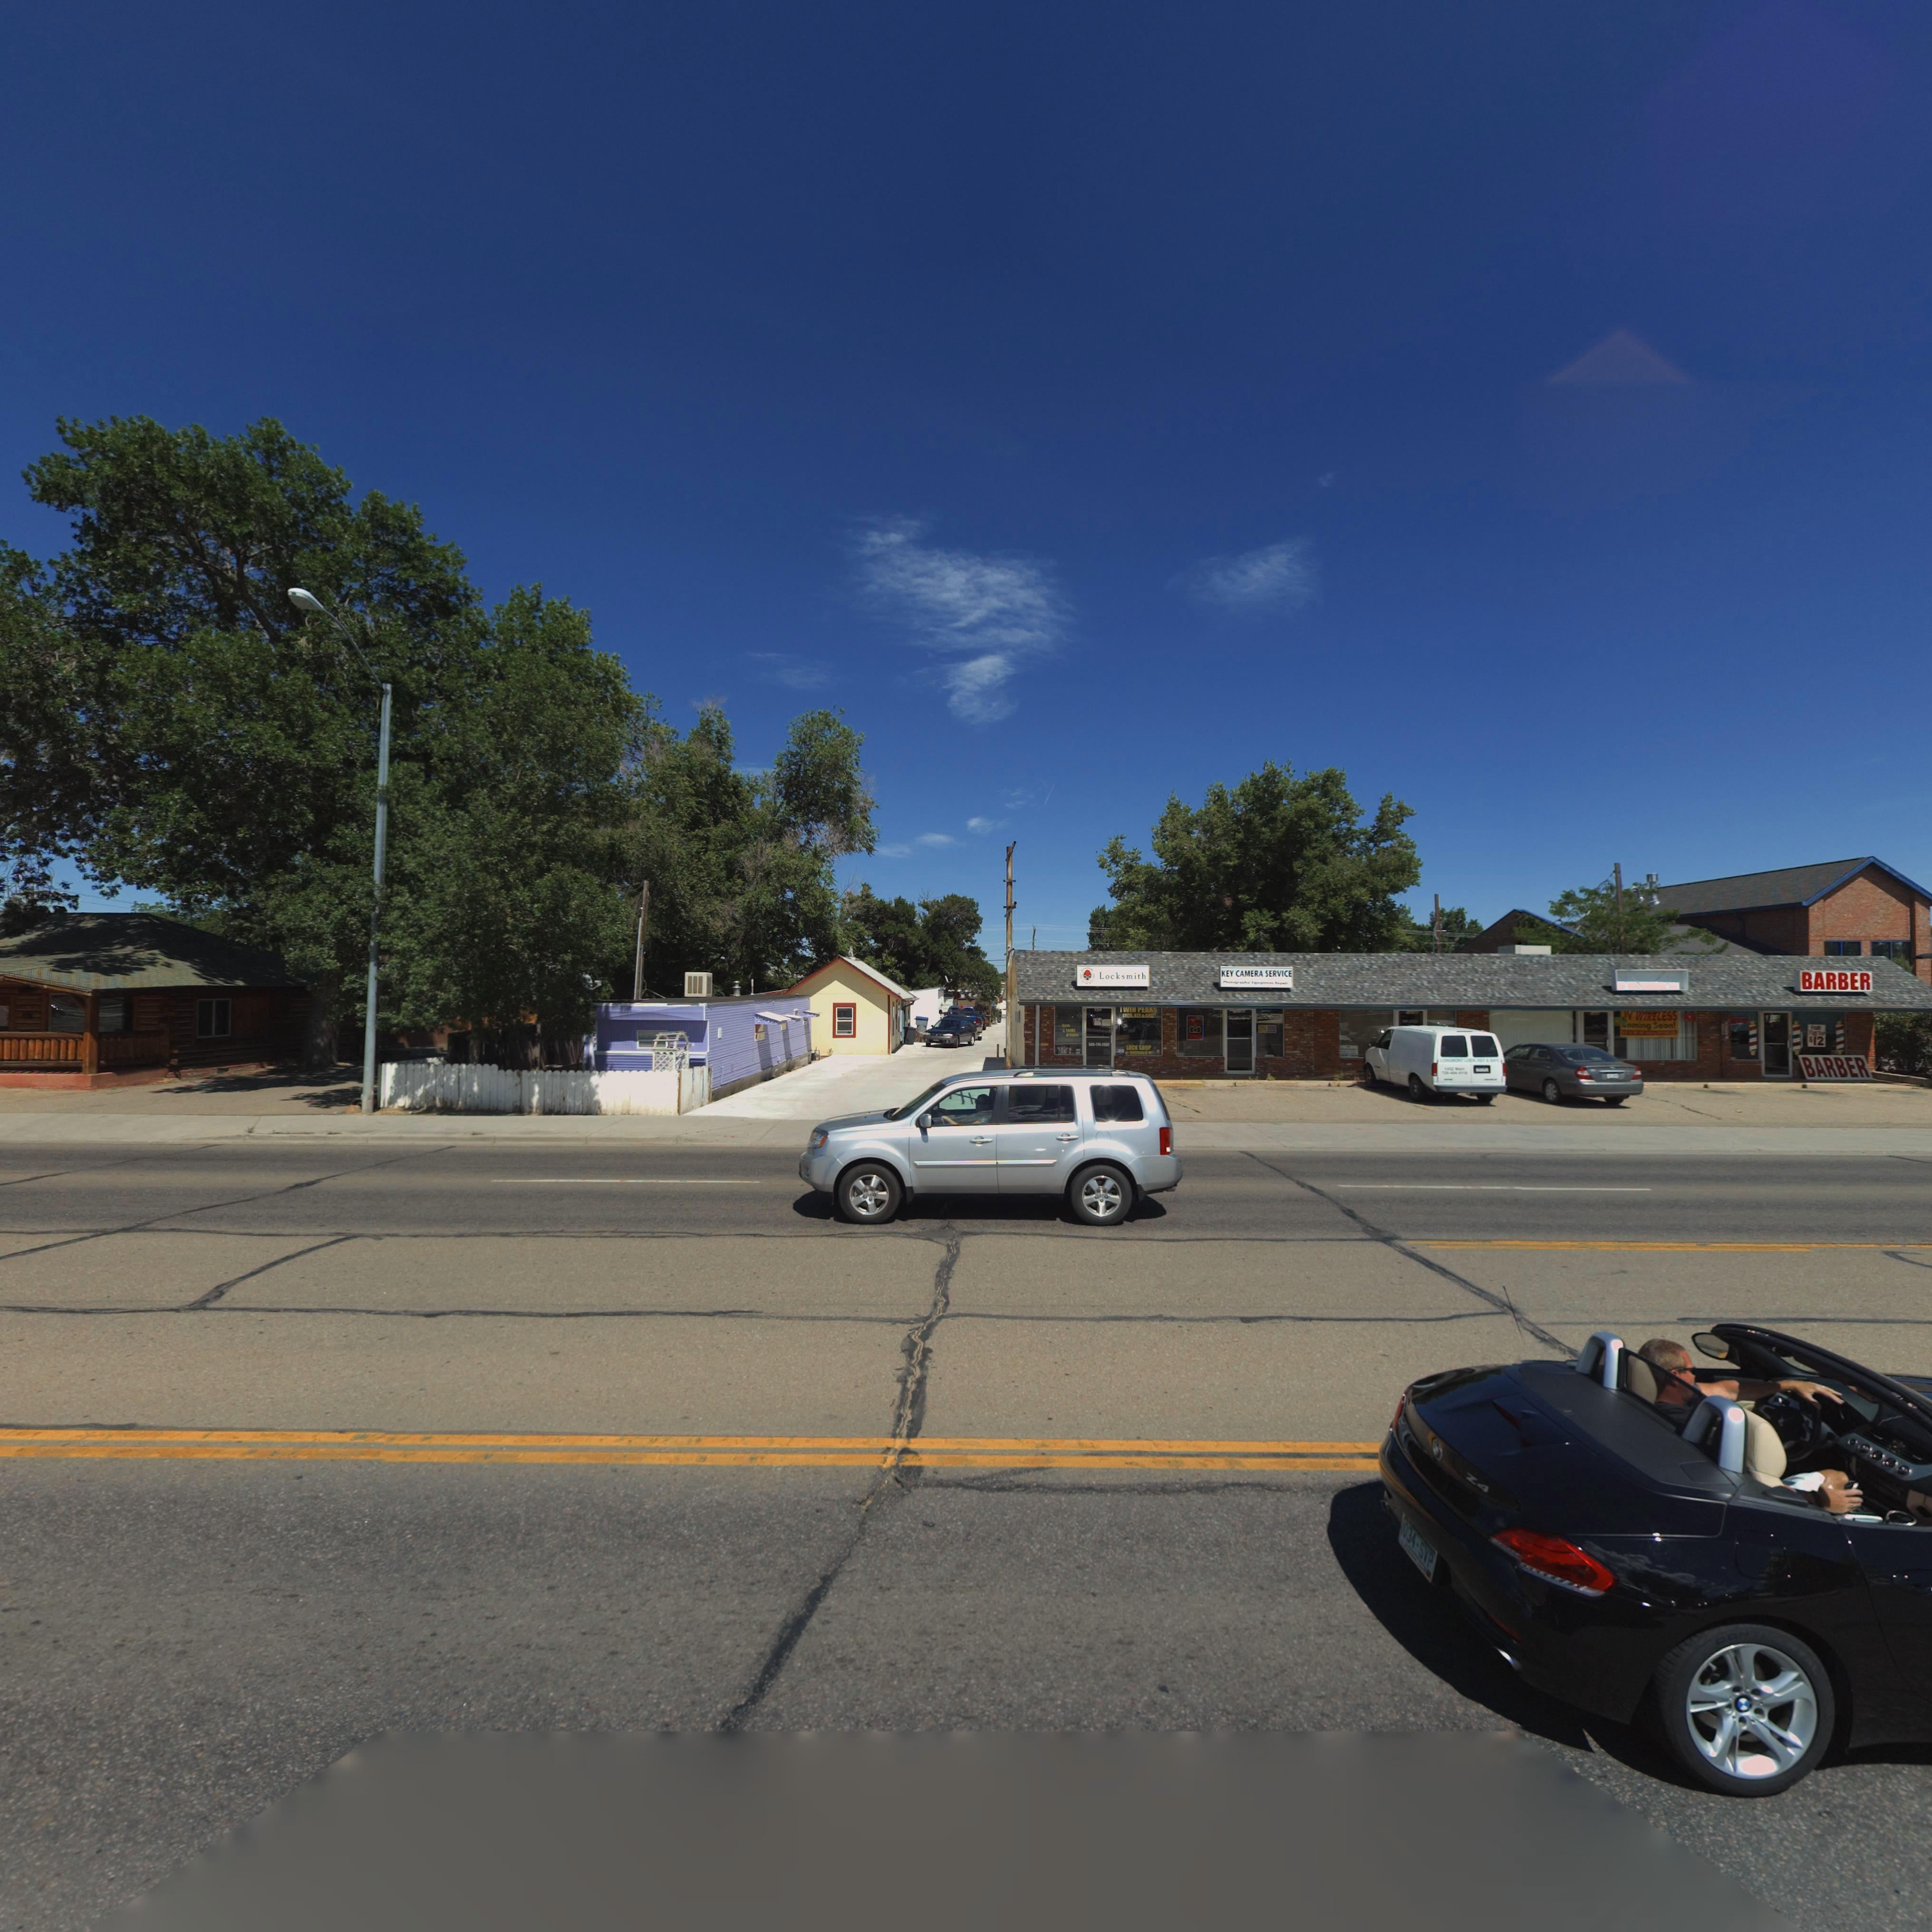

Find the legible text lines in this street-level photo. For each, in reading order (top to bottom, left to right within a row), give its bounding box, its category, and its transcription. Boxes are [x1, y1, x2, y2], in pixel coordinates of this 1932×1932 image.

[1221, 970, 1293, 977] BusinessName: KEY CAMERA SERVICE
[1120, 1006, 1157, 1013] BusinessName: *WIN PEAKS